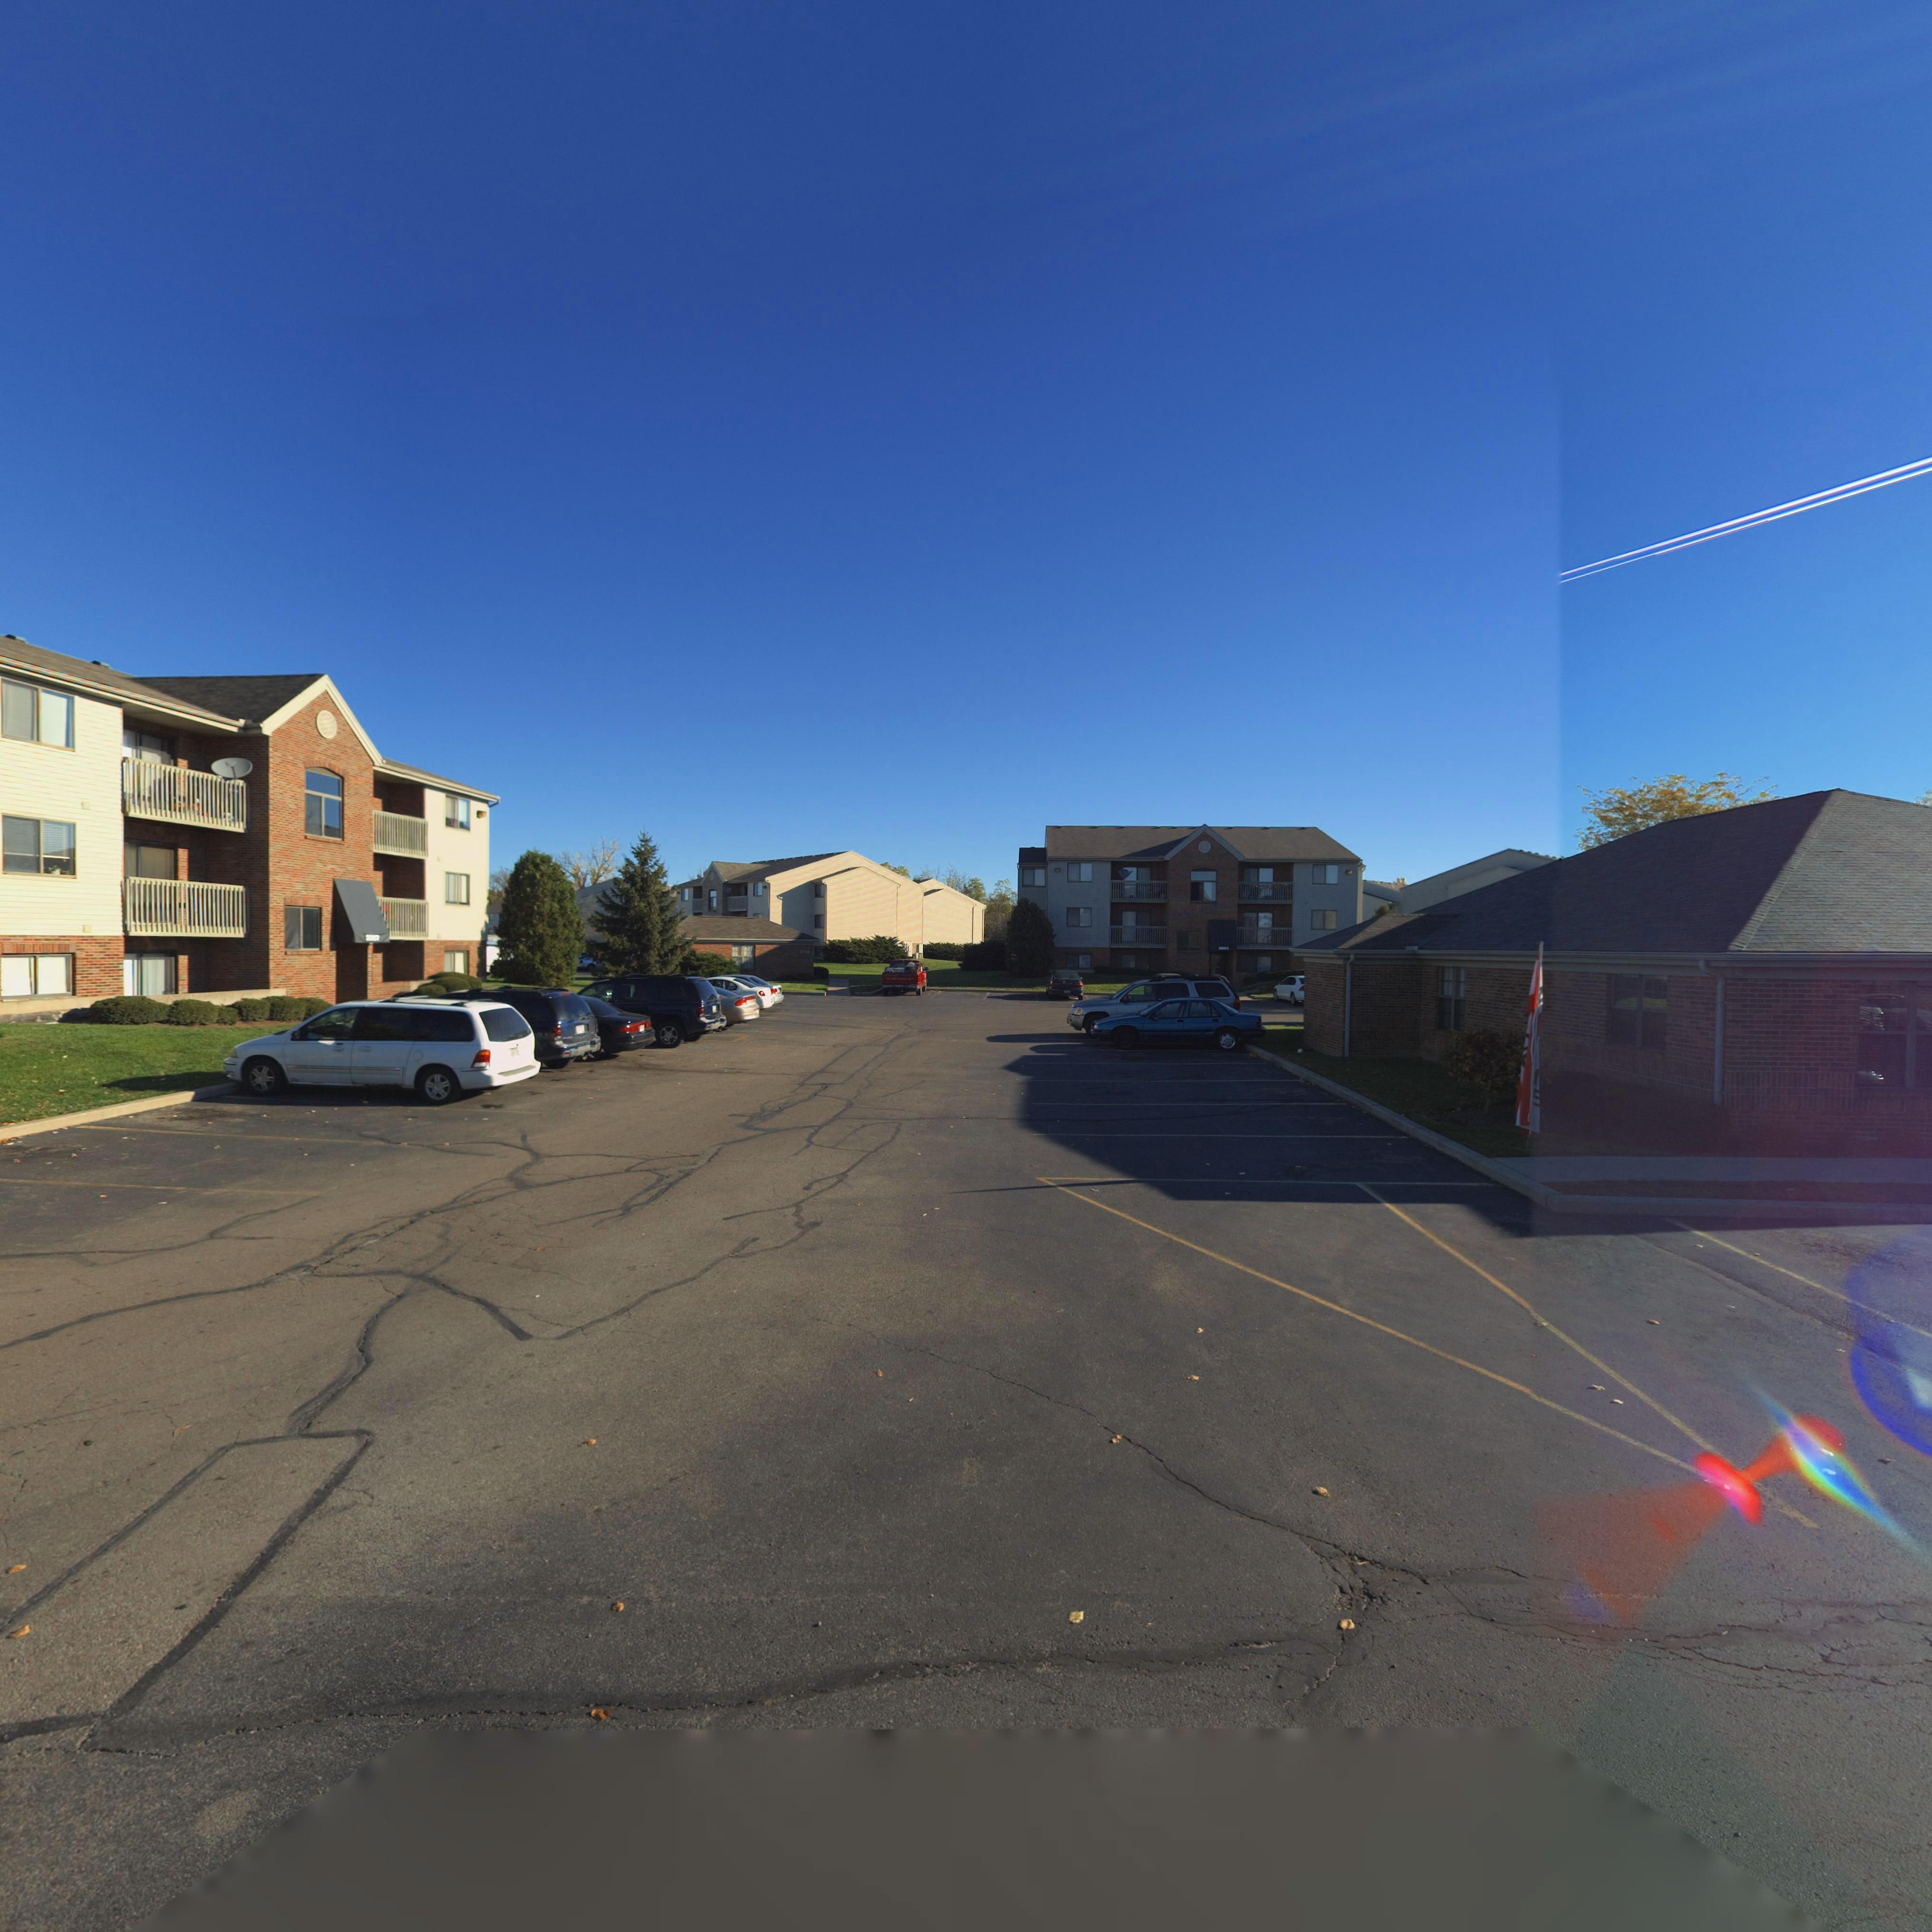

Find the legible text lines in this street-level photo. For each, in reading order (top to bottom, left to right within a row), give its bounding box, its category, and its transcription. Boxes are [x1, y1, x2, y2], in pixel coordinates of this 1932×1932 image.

[365, 933, 380, 942] StreetNumber: 2**7
[1218, 946, 1229, 950] StreetNumber: 2**3